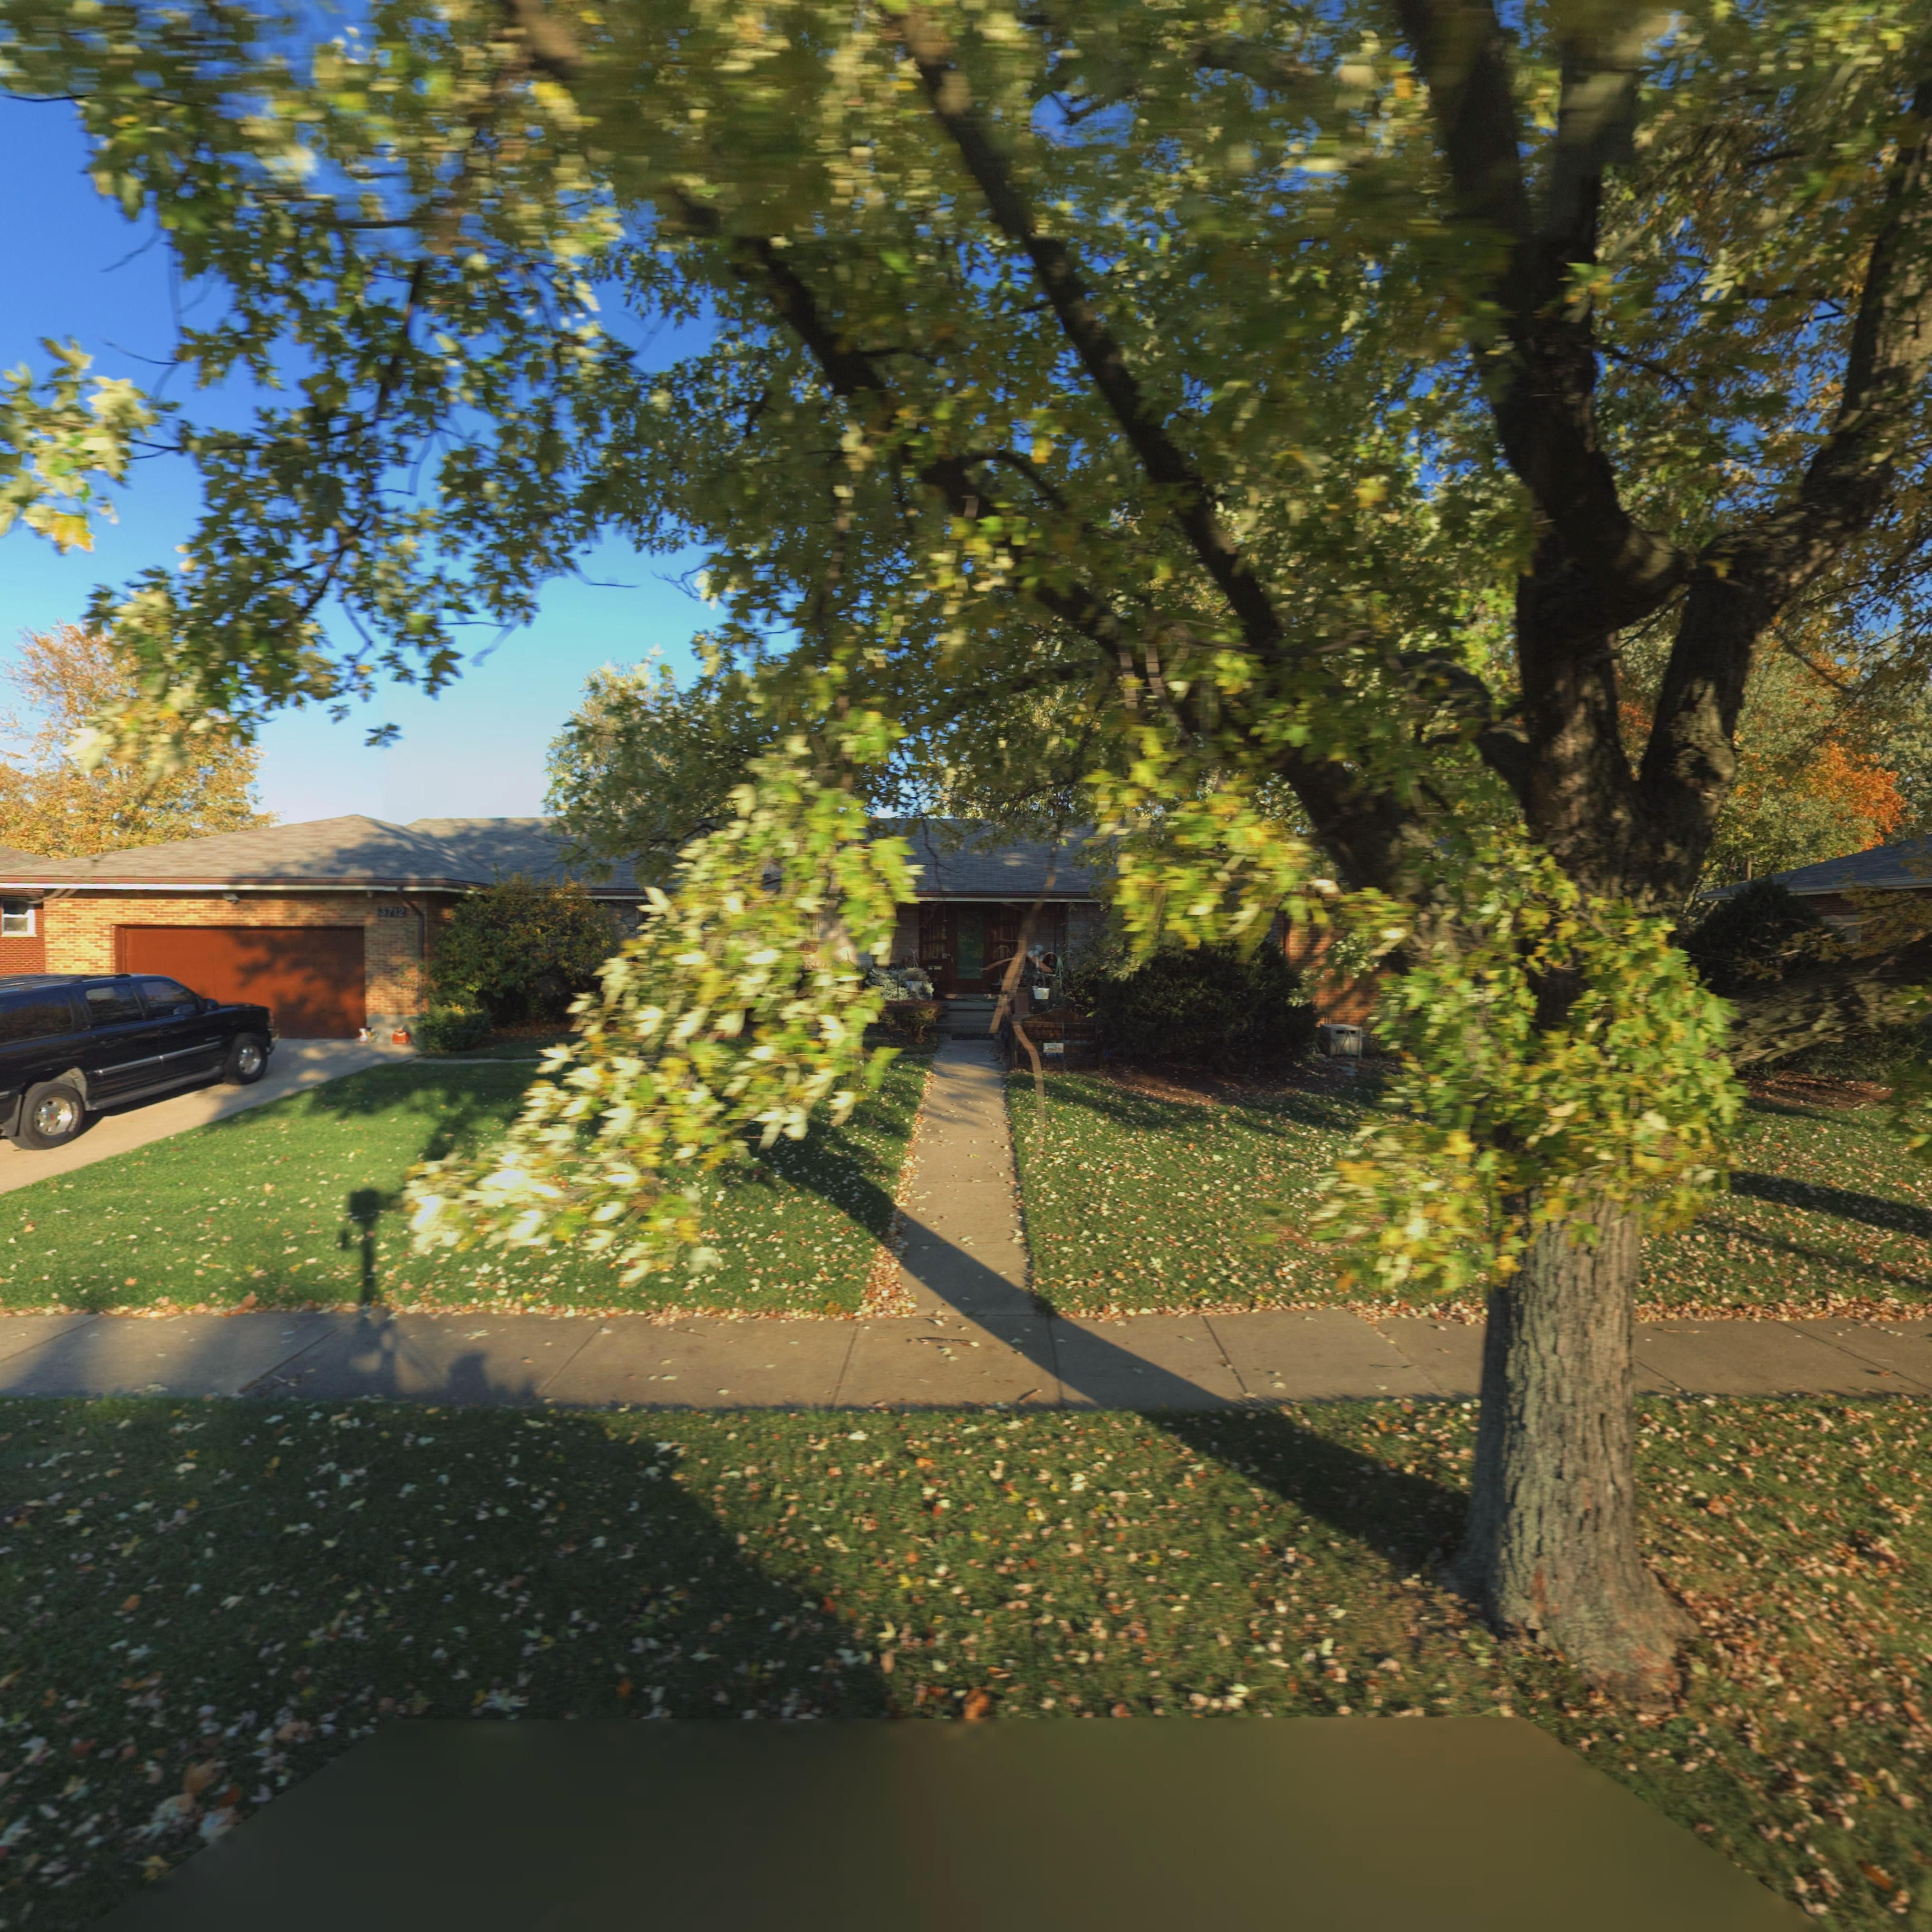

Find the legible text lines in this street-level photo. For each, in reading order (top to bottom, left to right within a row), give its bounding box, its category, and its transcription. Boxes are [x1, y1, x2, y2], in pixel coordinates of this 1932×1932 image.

[378, 907, 405, 917] StreetNumber: 3712